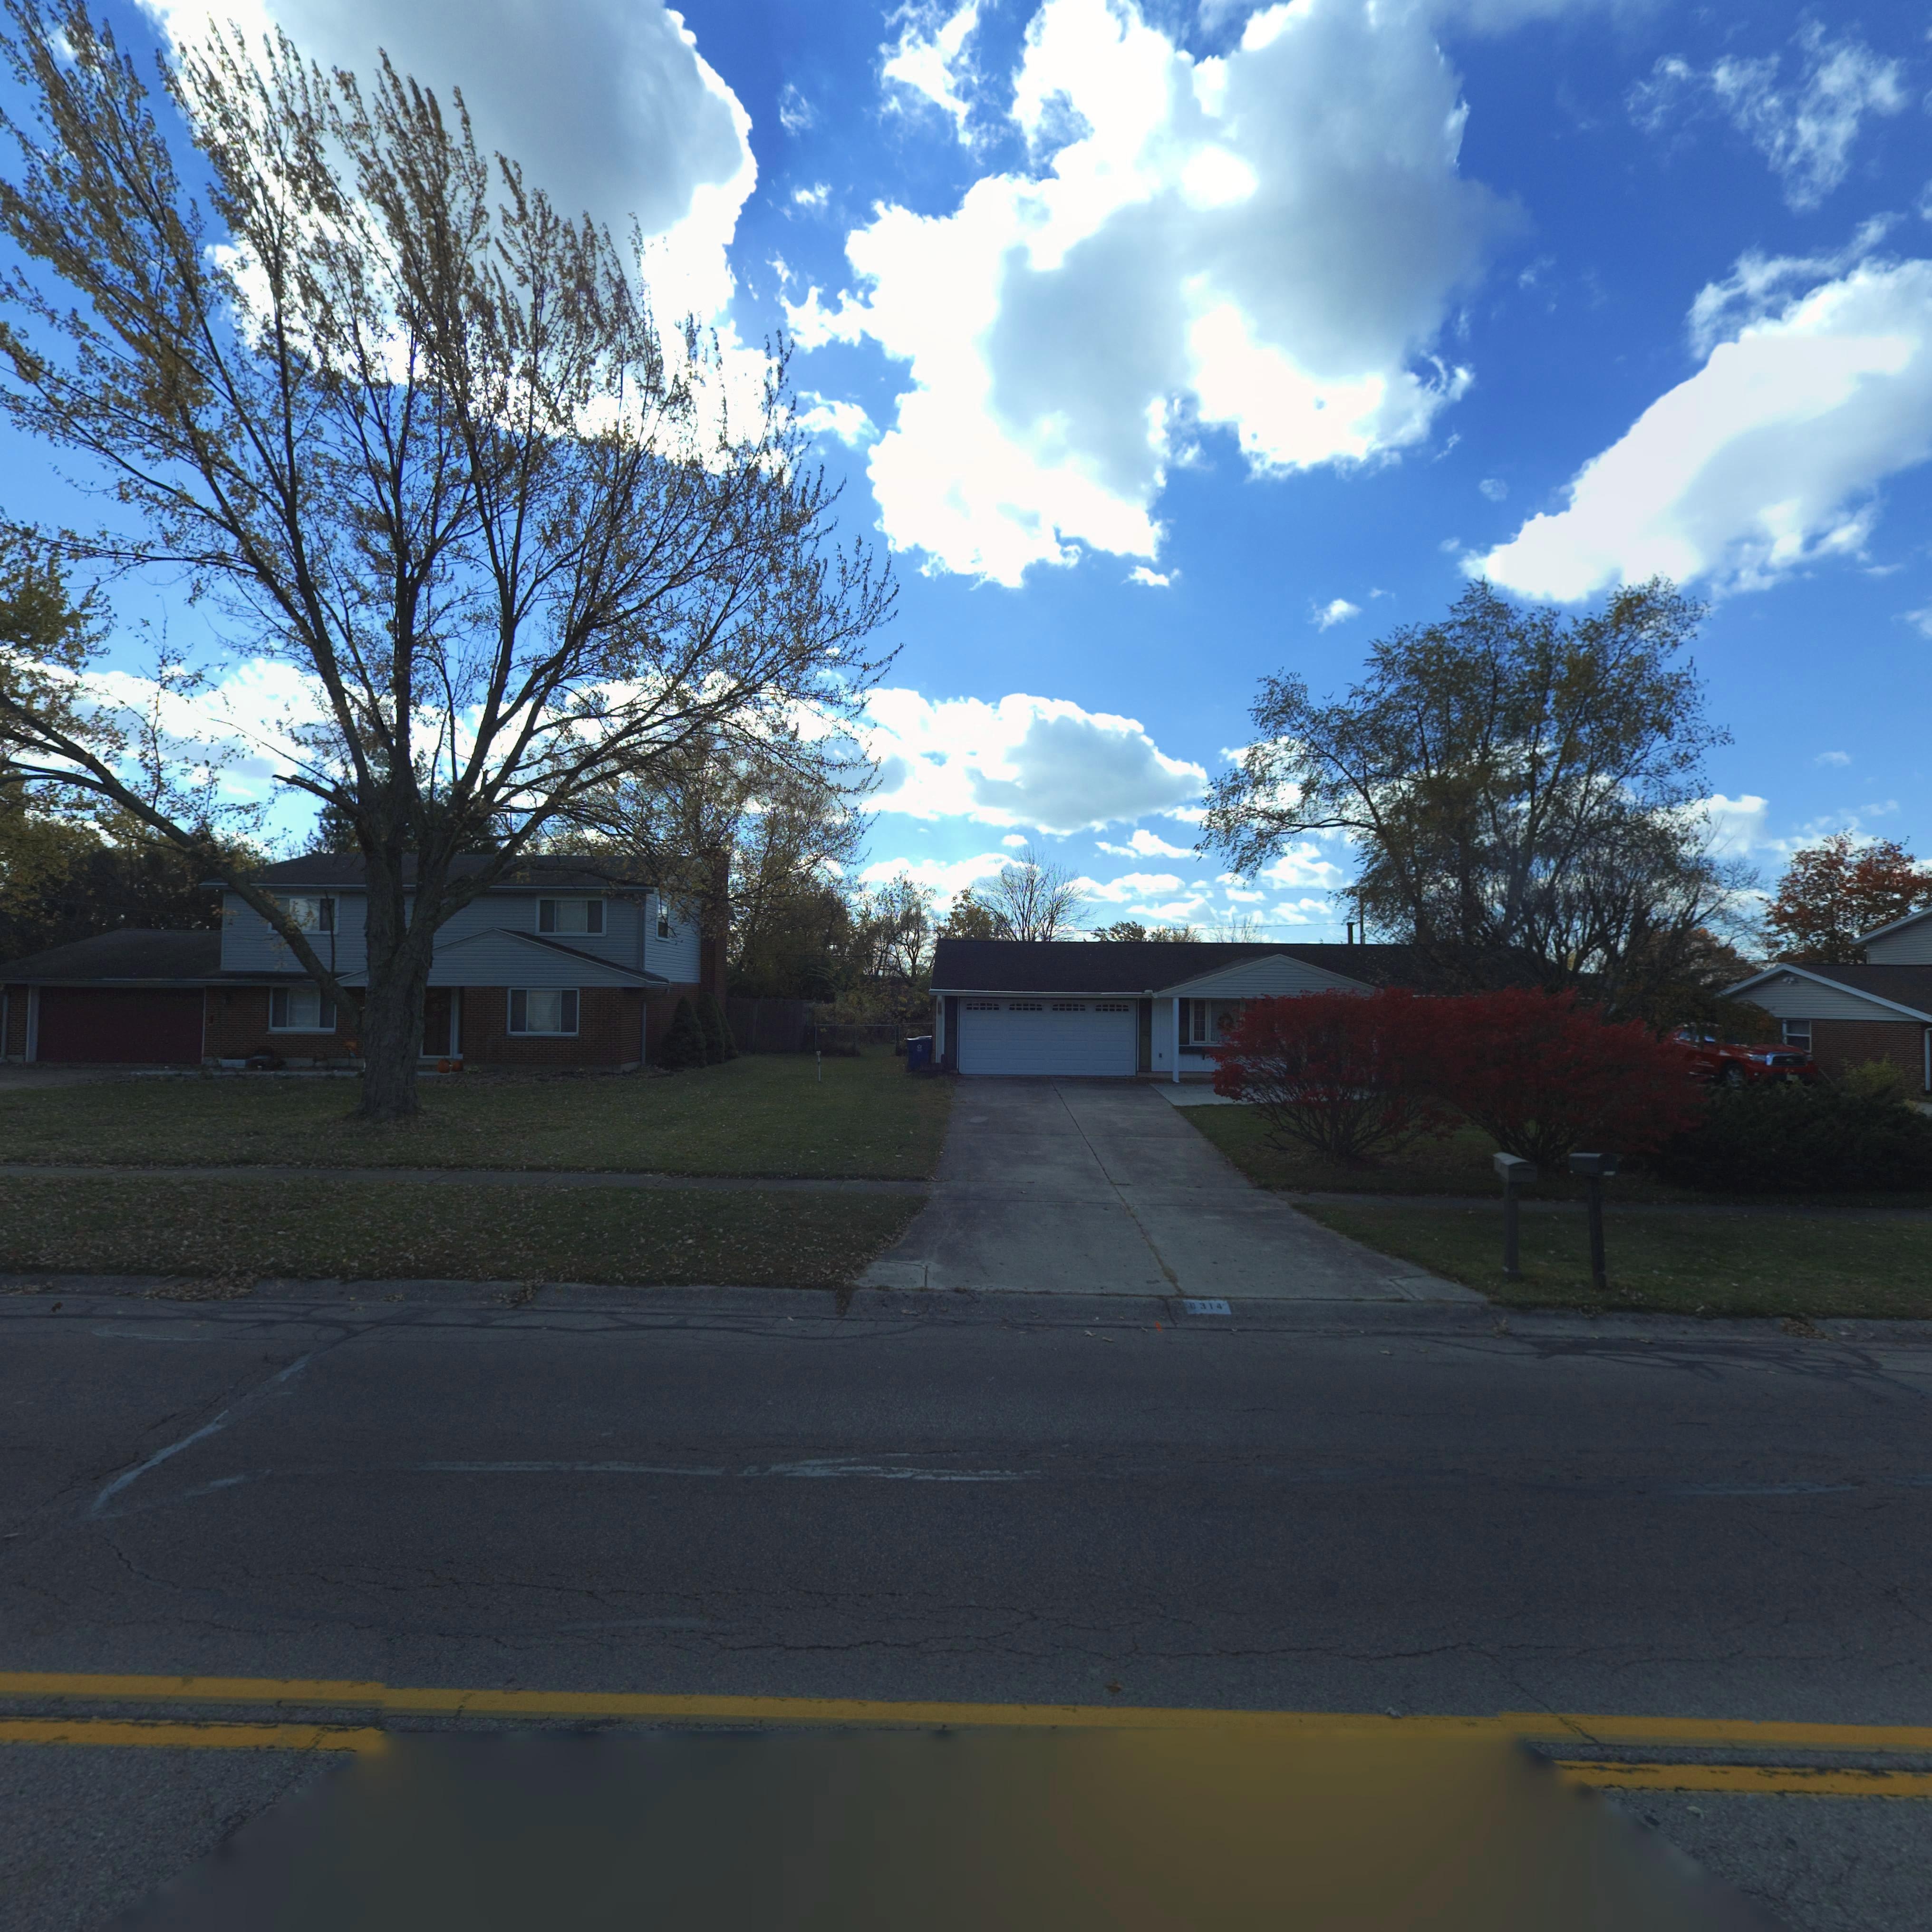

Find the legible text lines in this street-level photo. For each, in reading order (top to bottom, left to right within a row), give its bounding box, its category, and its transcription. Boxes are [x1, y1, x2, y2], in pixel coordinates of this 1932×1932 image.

[1188, 1302, 1223, 1310] StreetNumber: 6314